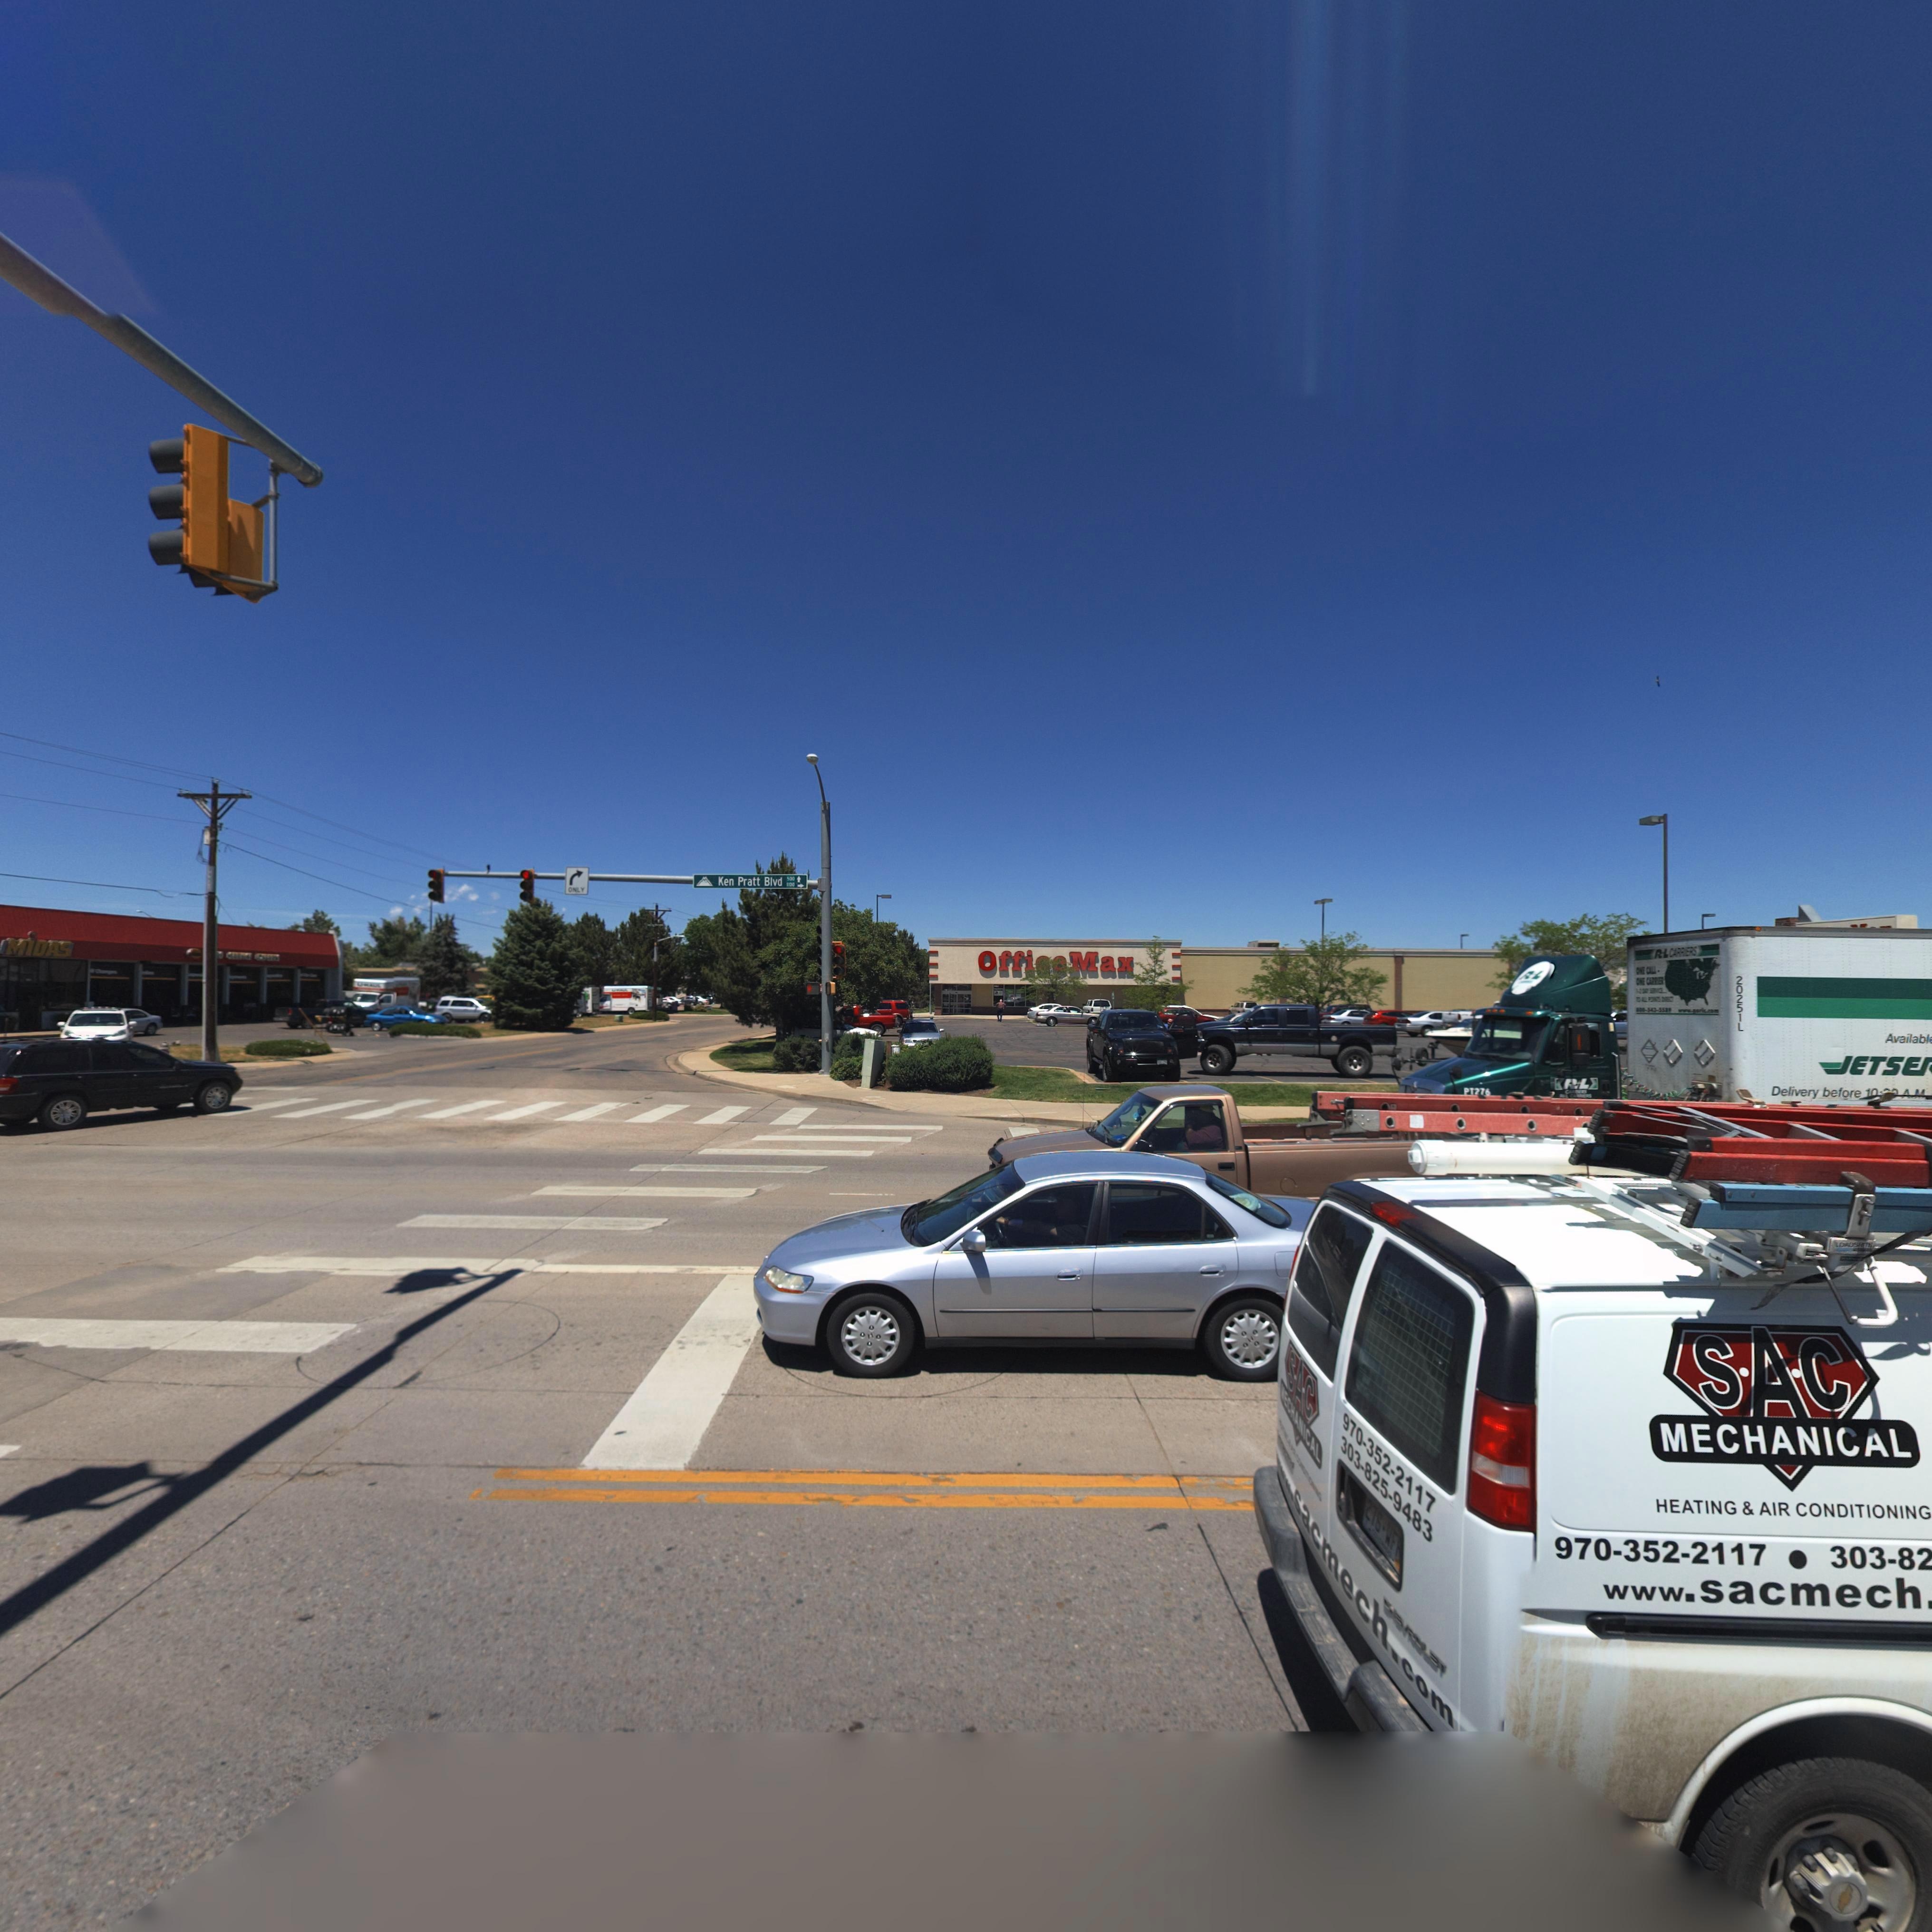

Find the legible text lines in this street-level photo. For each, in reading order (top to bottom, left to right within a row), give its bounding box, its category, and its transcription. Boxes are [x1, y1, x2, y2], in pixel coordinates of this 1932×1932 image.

[718, 876, 782, 887] StreetName: Ken Pratt Blvd
[787, 876, 794, 881] StreetNumber: 500
[786, 882, 804, 888] StreetNumberRange: 1100->
[5, 930, 71, 957] BusinessName: MiDAS
[977, 949, 1134, 972] BusinessName: Offi**Max